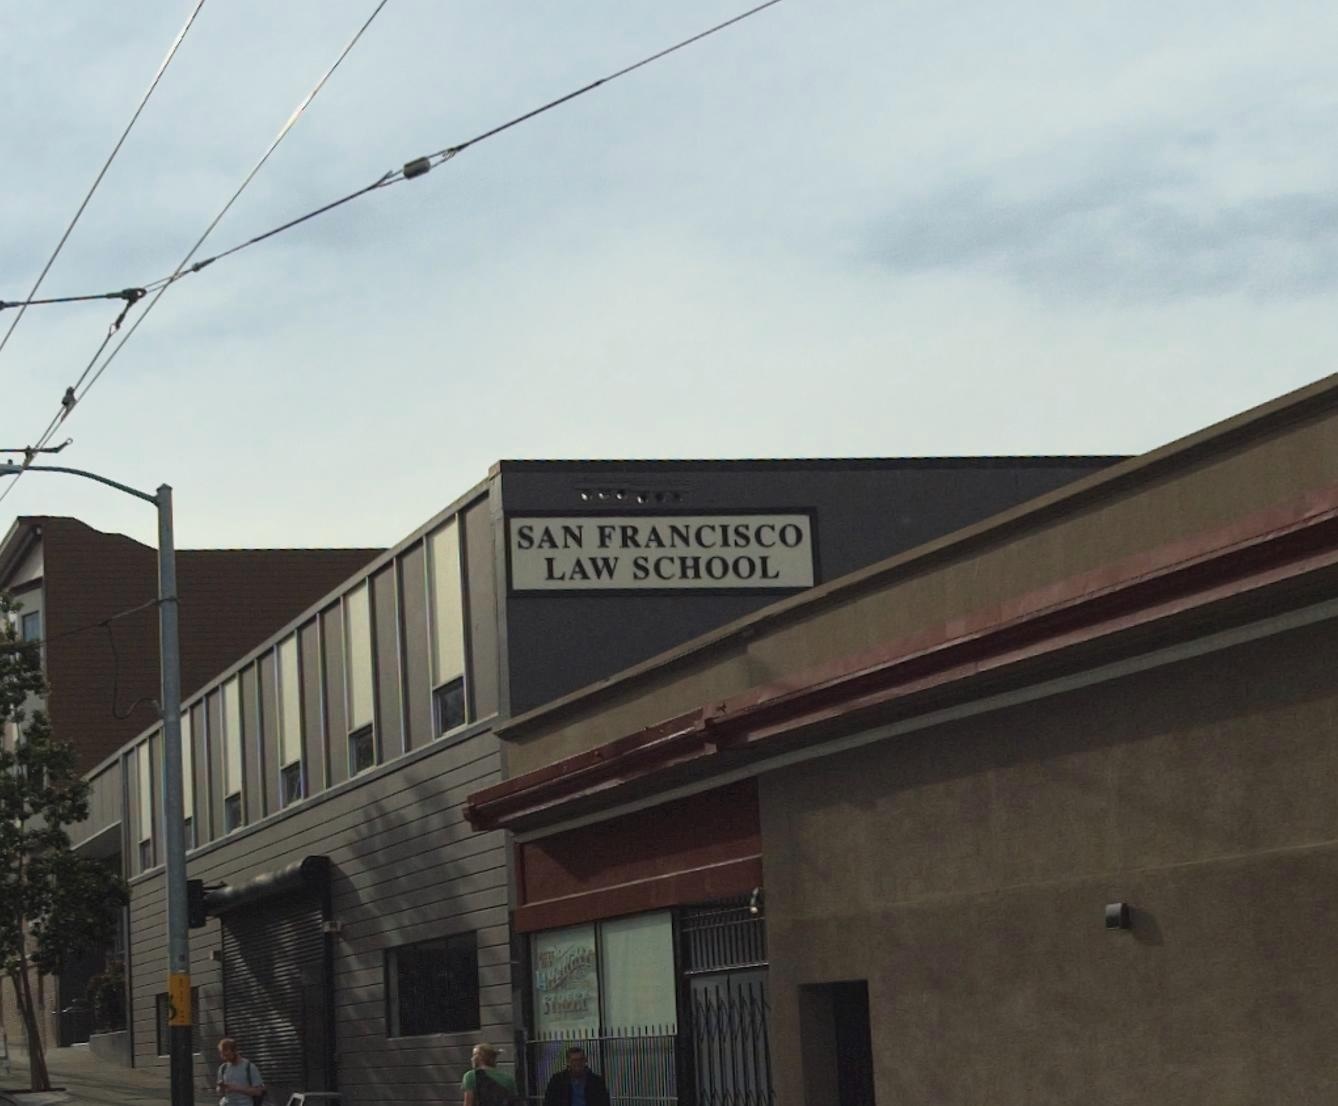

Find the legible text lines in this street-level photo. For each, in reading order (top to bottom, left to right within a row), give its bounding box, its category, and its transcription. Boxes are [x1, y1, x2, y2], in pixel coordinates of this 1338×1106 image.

[514, 520, 806, 553] BusinessName: SAN FRANCISCO
[540, 552, 784, 583] BusinessName: LAW SCHOOL
[540, 987, 594, 1017] StreetName: STREET